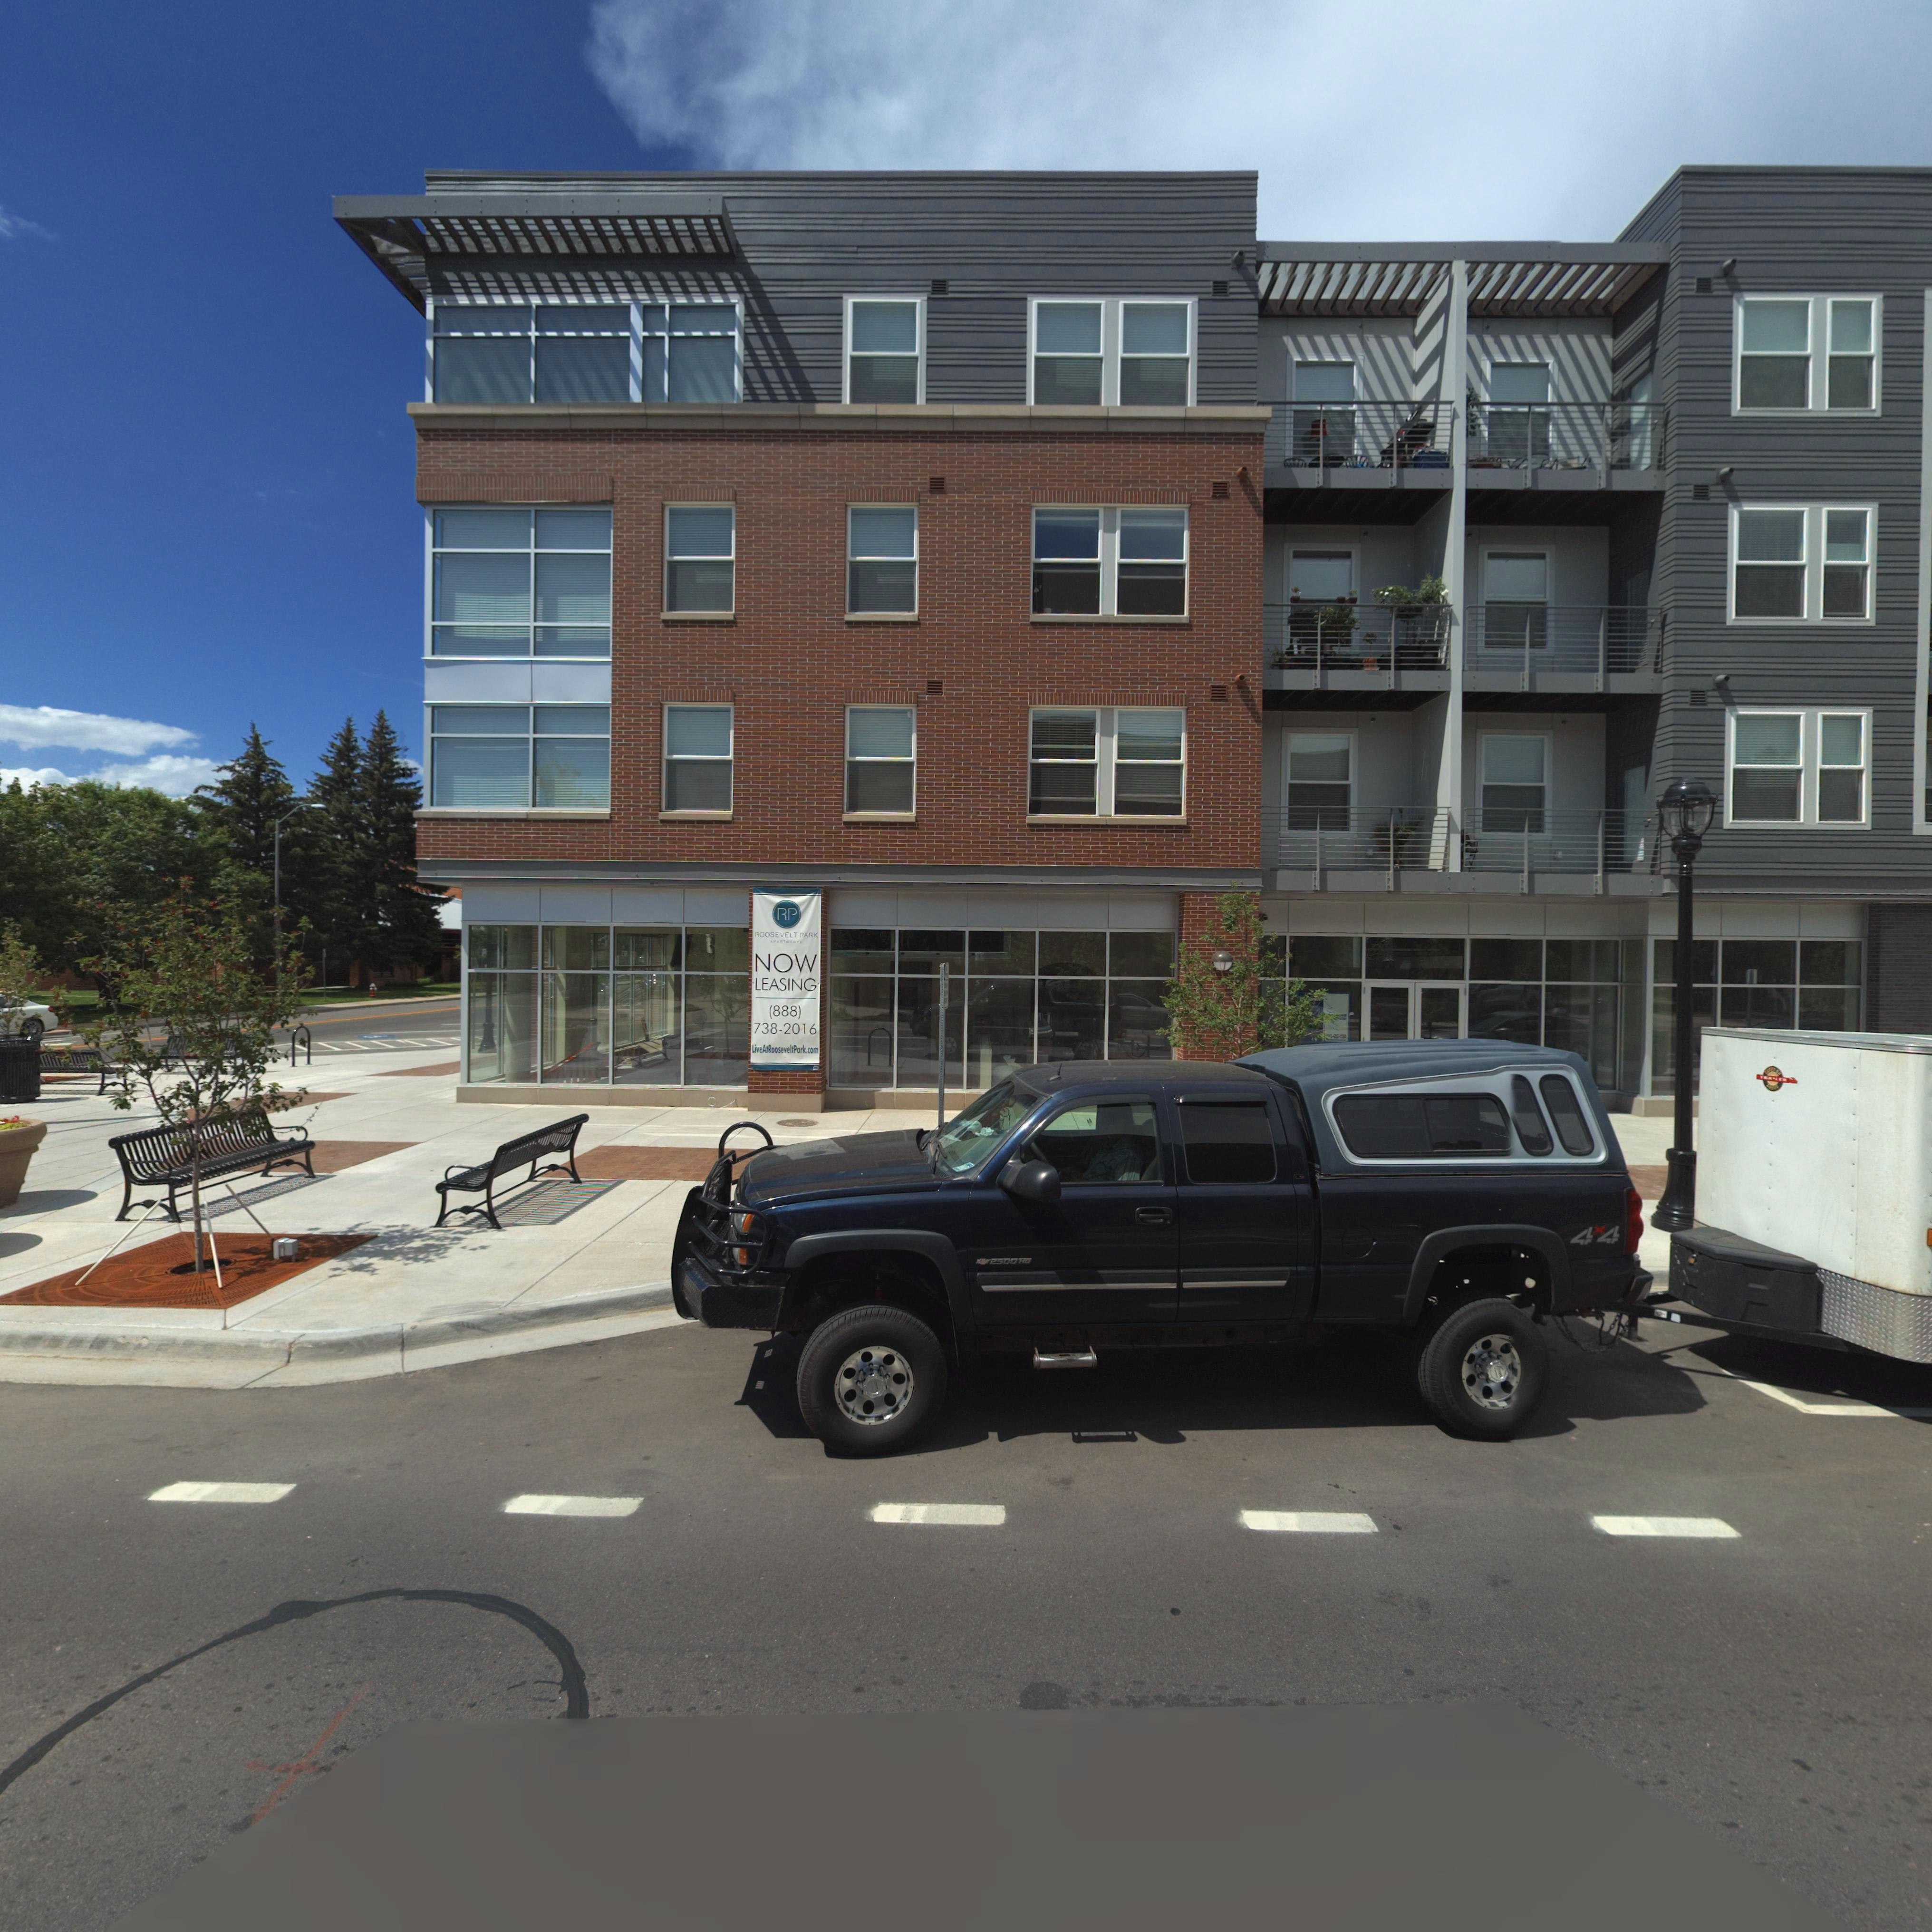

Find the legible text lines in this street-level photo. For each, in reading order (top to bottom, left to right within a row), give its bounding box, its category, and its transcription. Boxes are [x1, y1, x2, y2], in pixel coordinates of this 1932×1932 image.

[755, 931, 818, 937] BusinessName: ROOSEVELT PARK